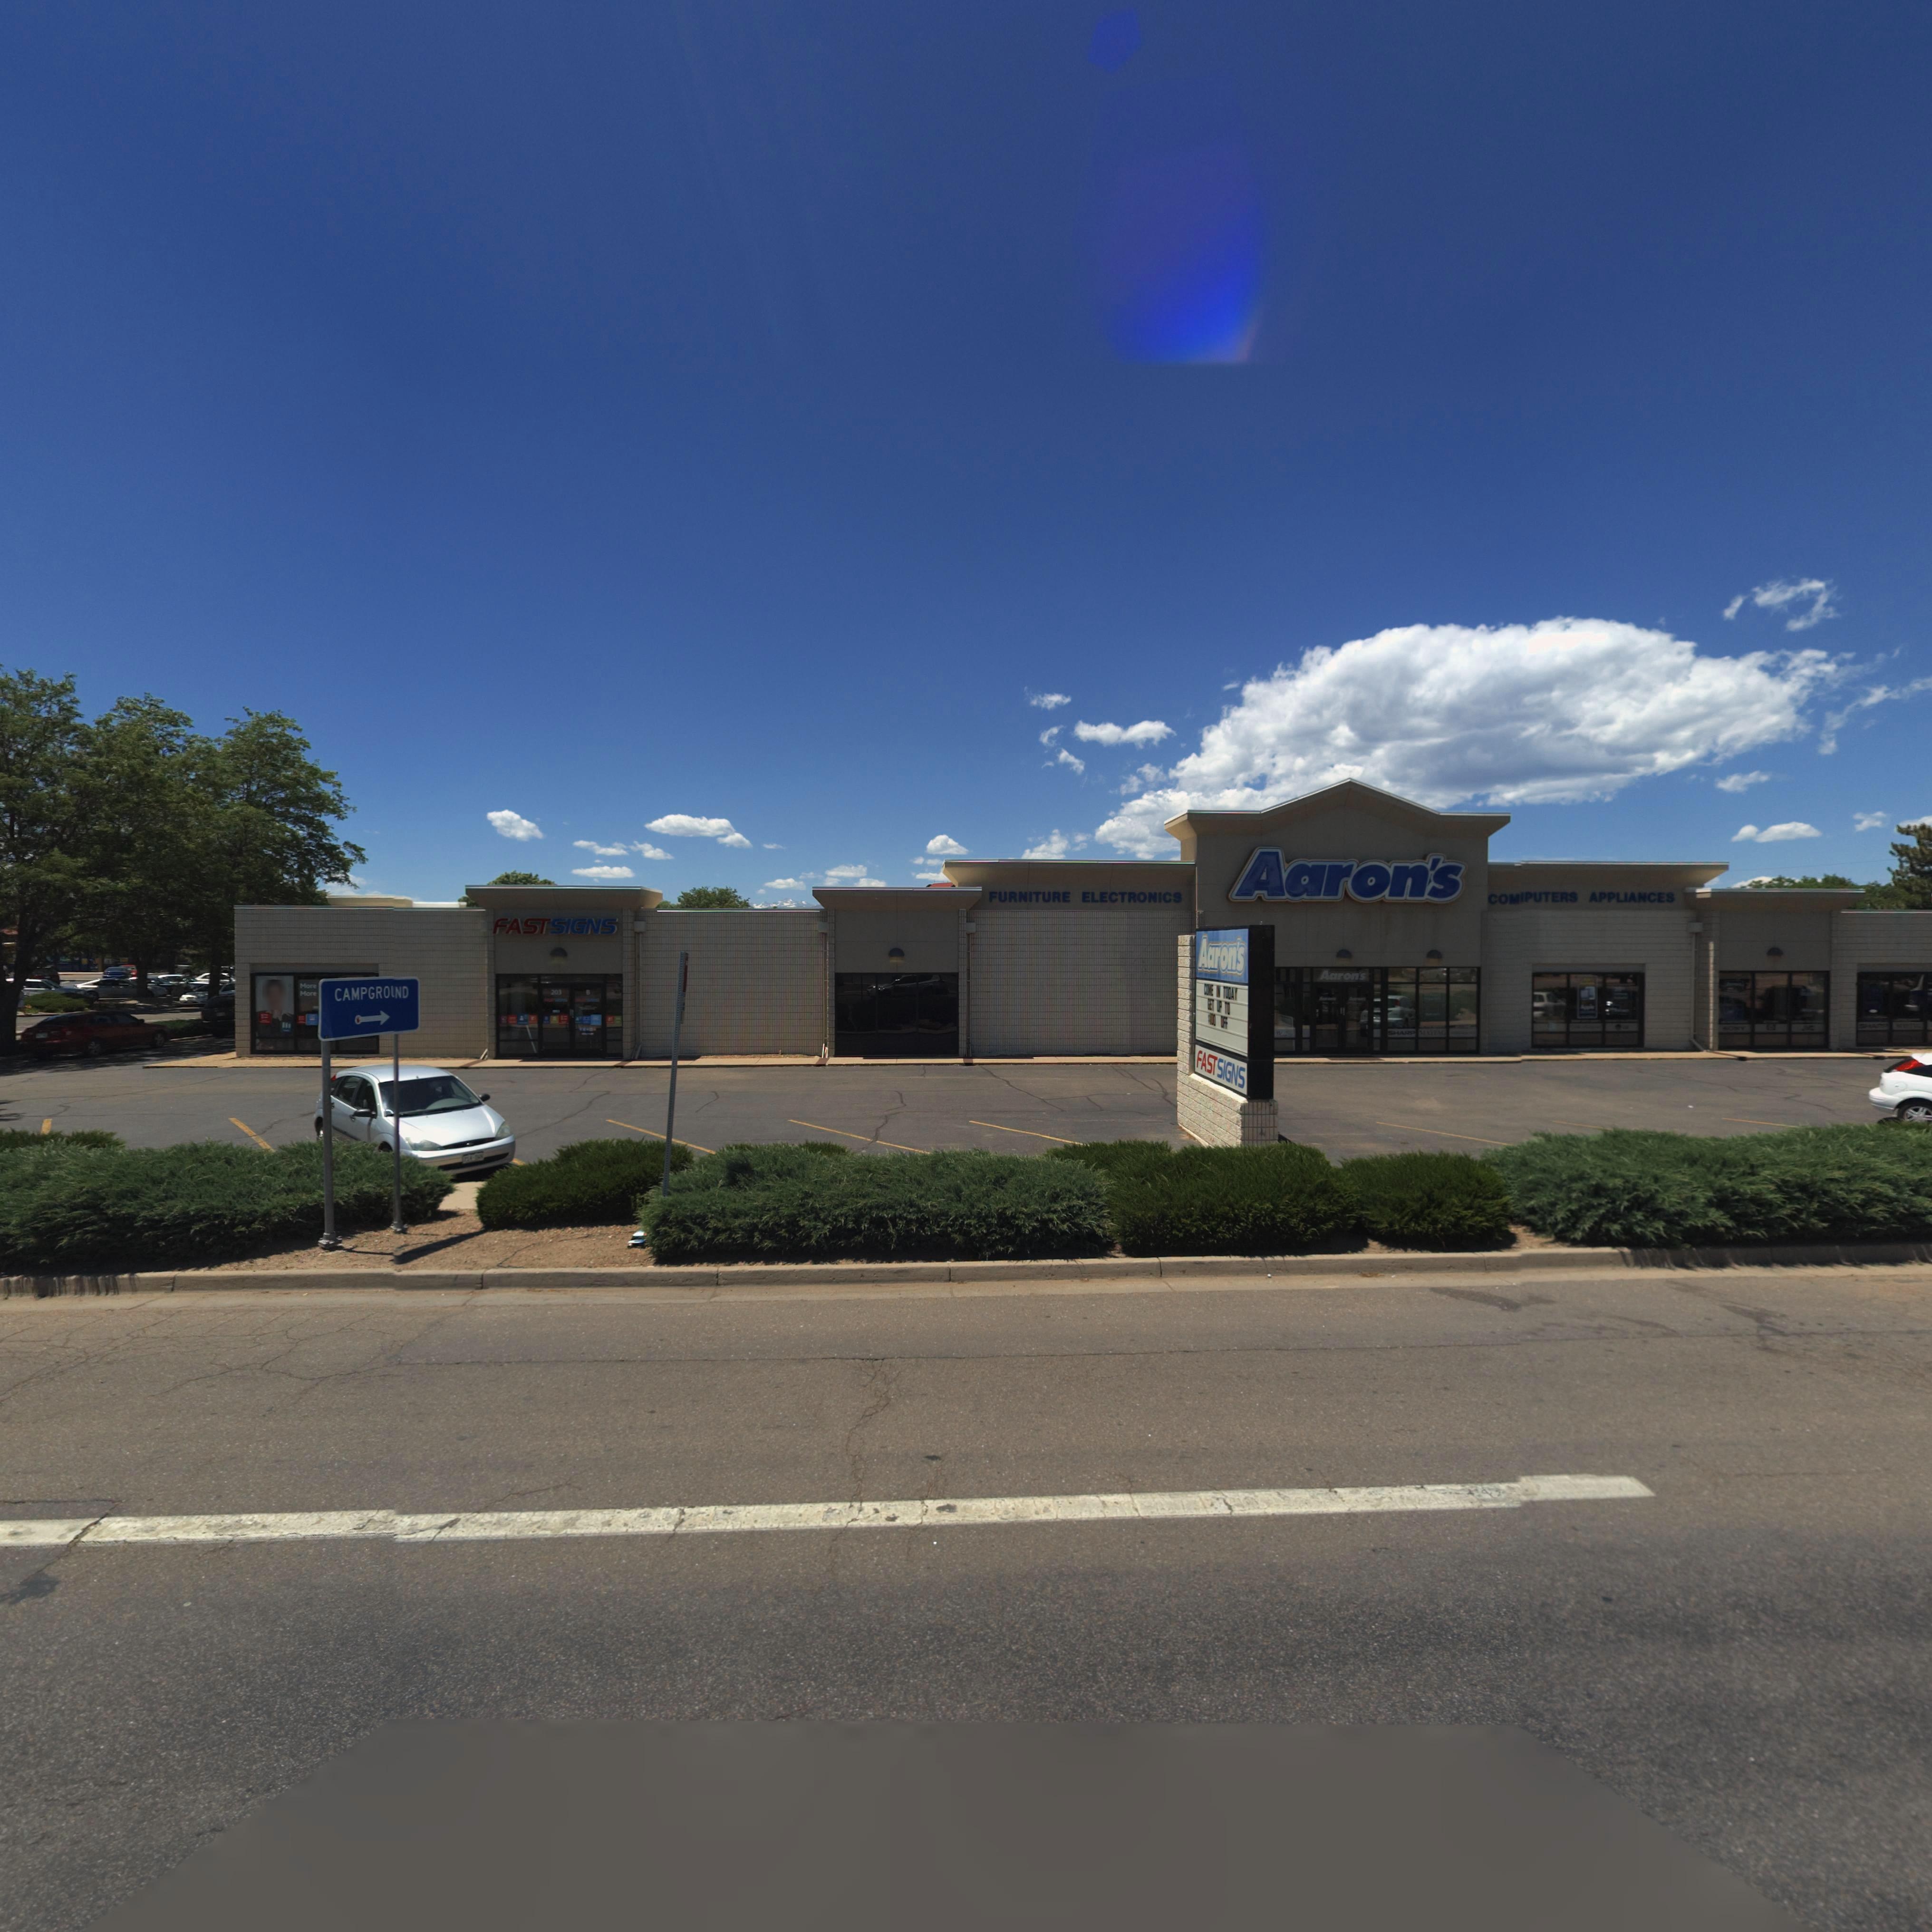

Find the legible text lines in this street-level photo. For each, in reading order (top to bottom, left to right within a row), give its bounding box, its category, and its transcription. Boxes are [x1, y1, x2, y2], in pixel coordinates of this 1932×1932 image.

[1227, 846, 1468, 904] BusinessName: Aaron's
[492, 917, 619, 935] BusinessName: FAST SIGNS
[1197, 935, 1246, 975] BusinessName: Aaron's
[1317, 969, 1367, 981] BusinessName: Aaron's
[550, 988, 562, 995] StreetNumber: 203
[586, 989, 590, 995] BusinessName: B
[1196, 1049, 1246, 1089] BusinessName: FAST SIGNS